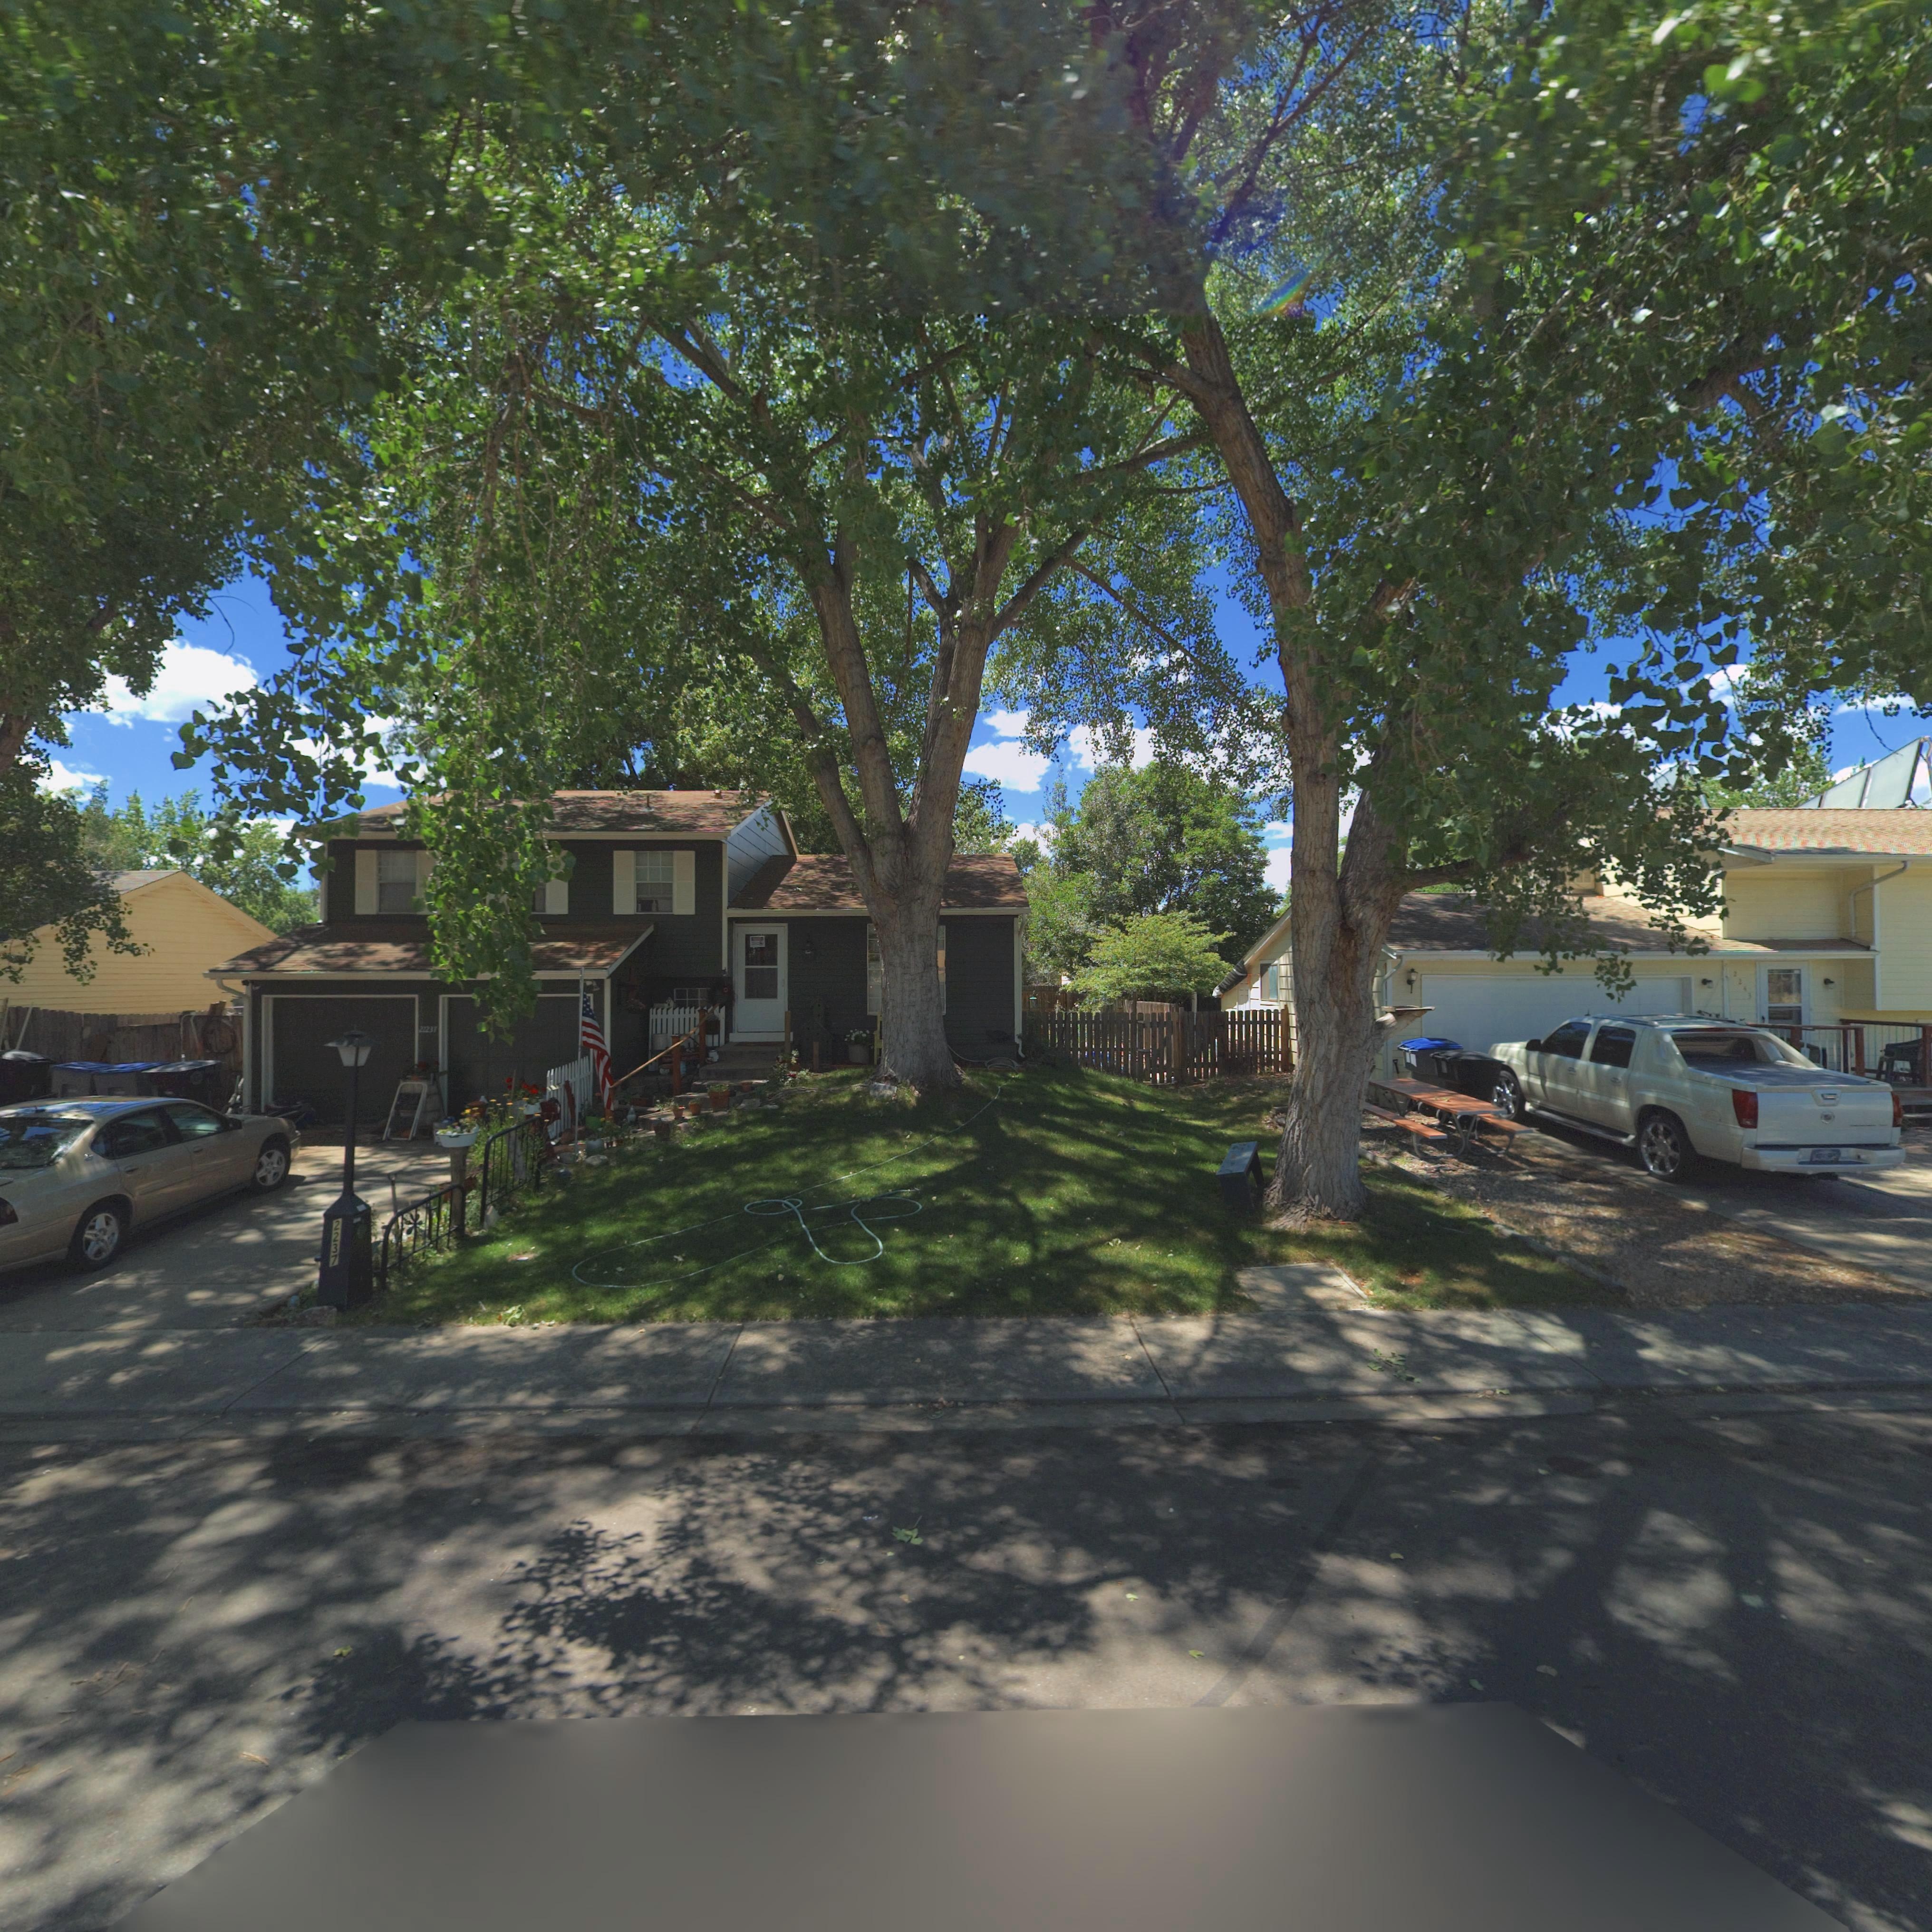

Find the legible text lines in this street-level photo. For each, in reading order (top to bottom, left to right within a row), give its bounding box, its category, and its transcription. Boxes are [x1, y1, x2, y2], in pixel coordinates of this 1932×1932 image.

[1732, 970, 1752, 999] StreetNumber: 2243
[419, 1025, 437, 1033] StreetNumber: 22237
[330, 1219, 339, 1266] StreetNumber: 2237